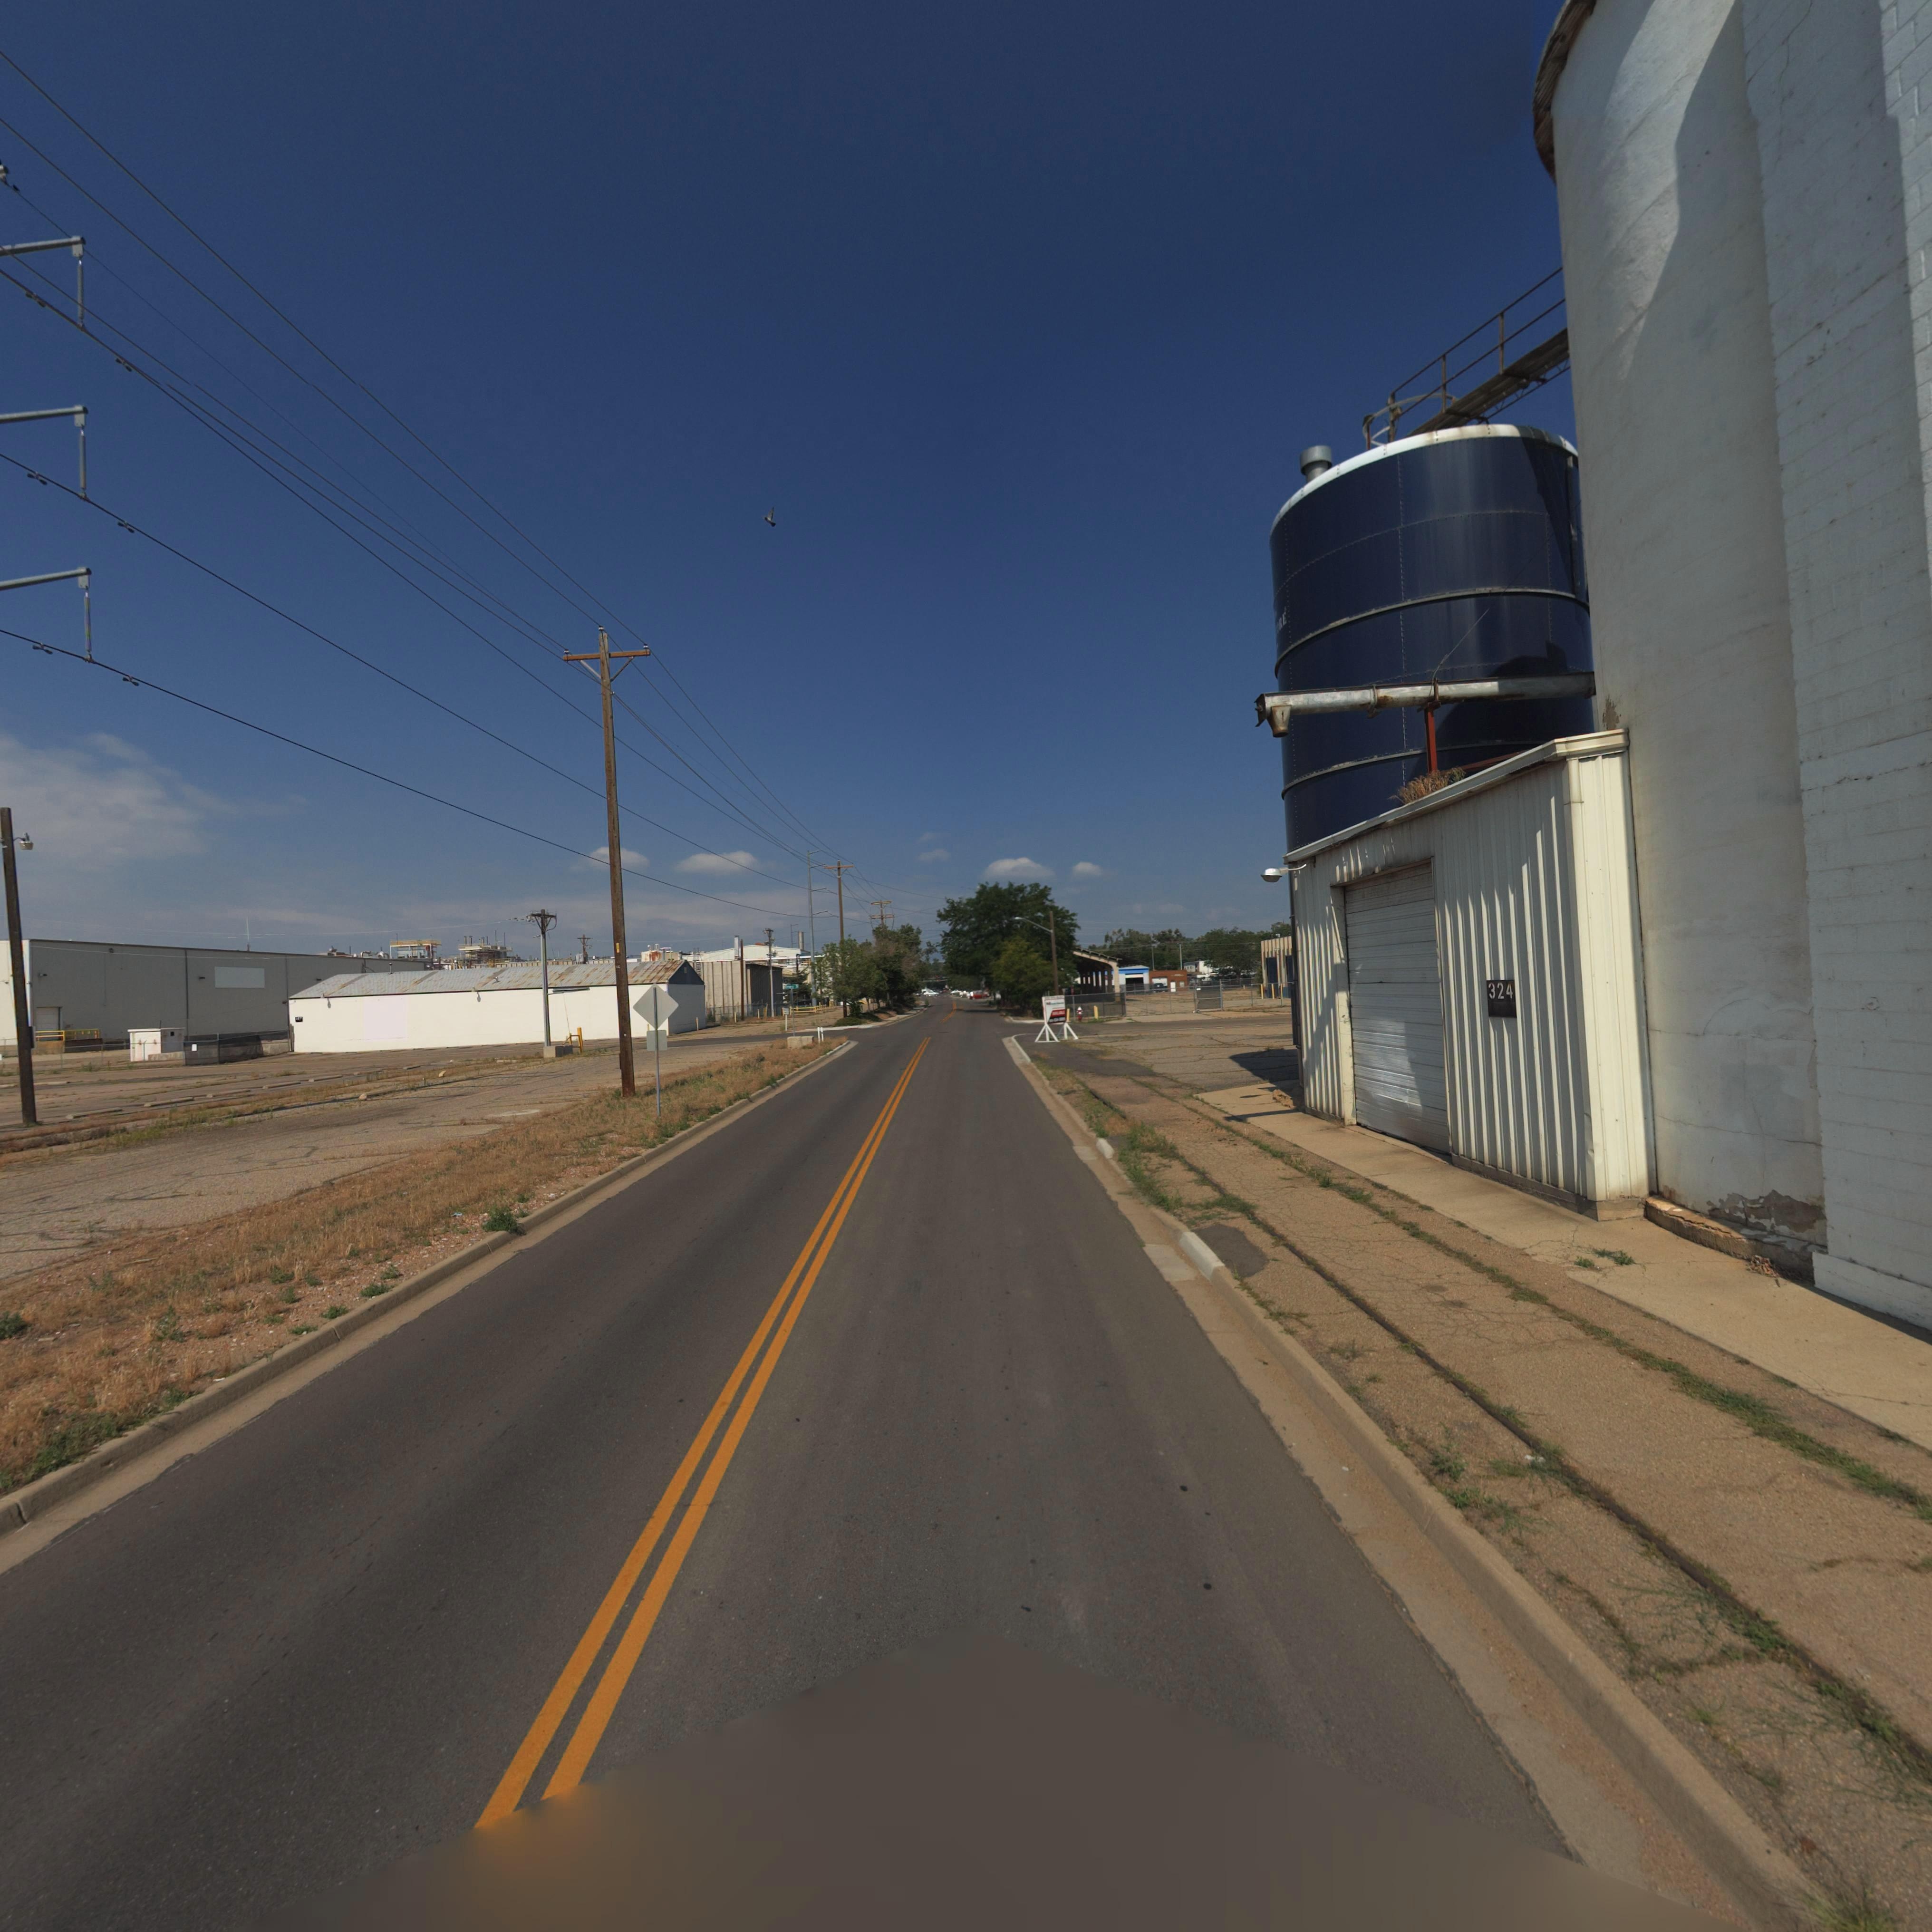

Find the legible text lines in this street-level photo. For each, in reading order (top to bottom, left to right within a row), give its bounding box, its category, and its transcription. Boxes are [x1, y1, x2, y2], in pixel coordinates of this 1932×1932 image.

[785, 984, 799, 988] StreetName: *mry S*
[1488, 982, 1513, 1000] StreetNumber: 324